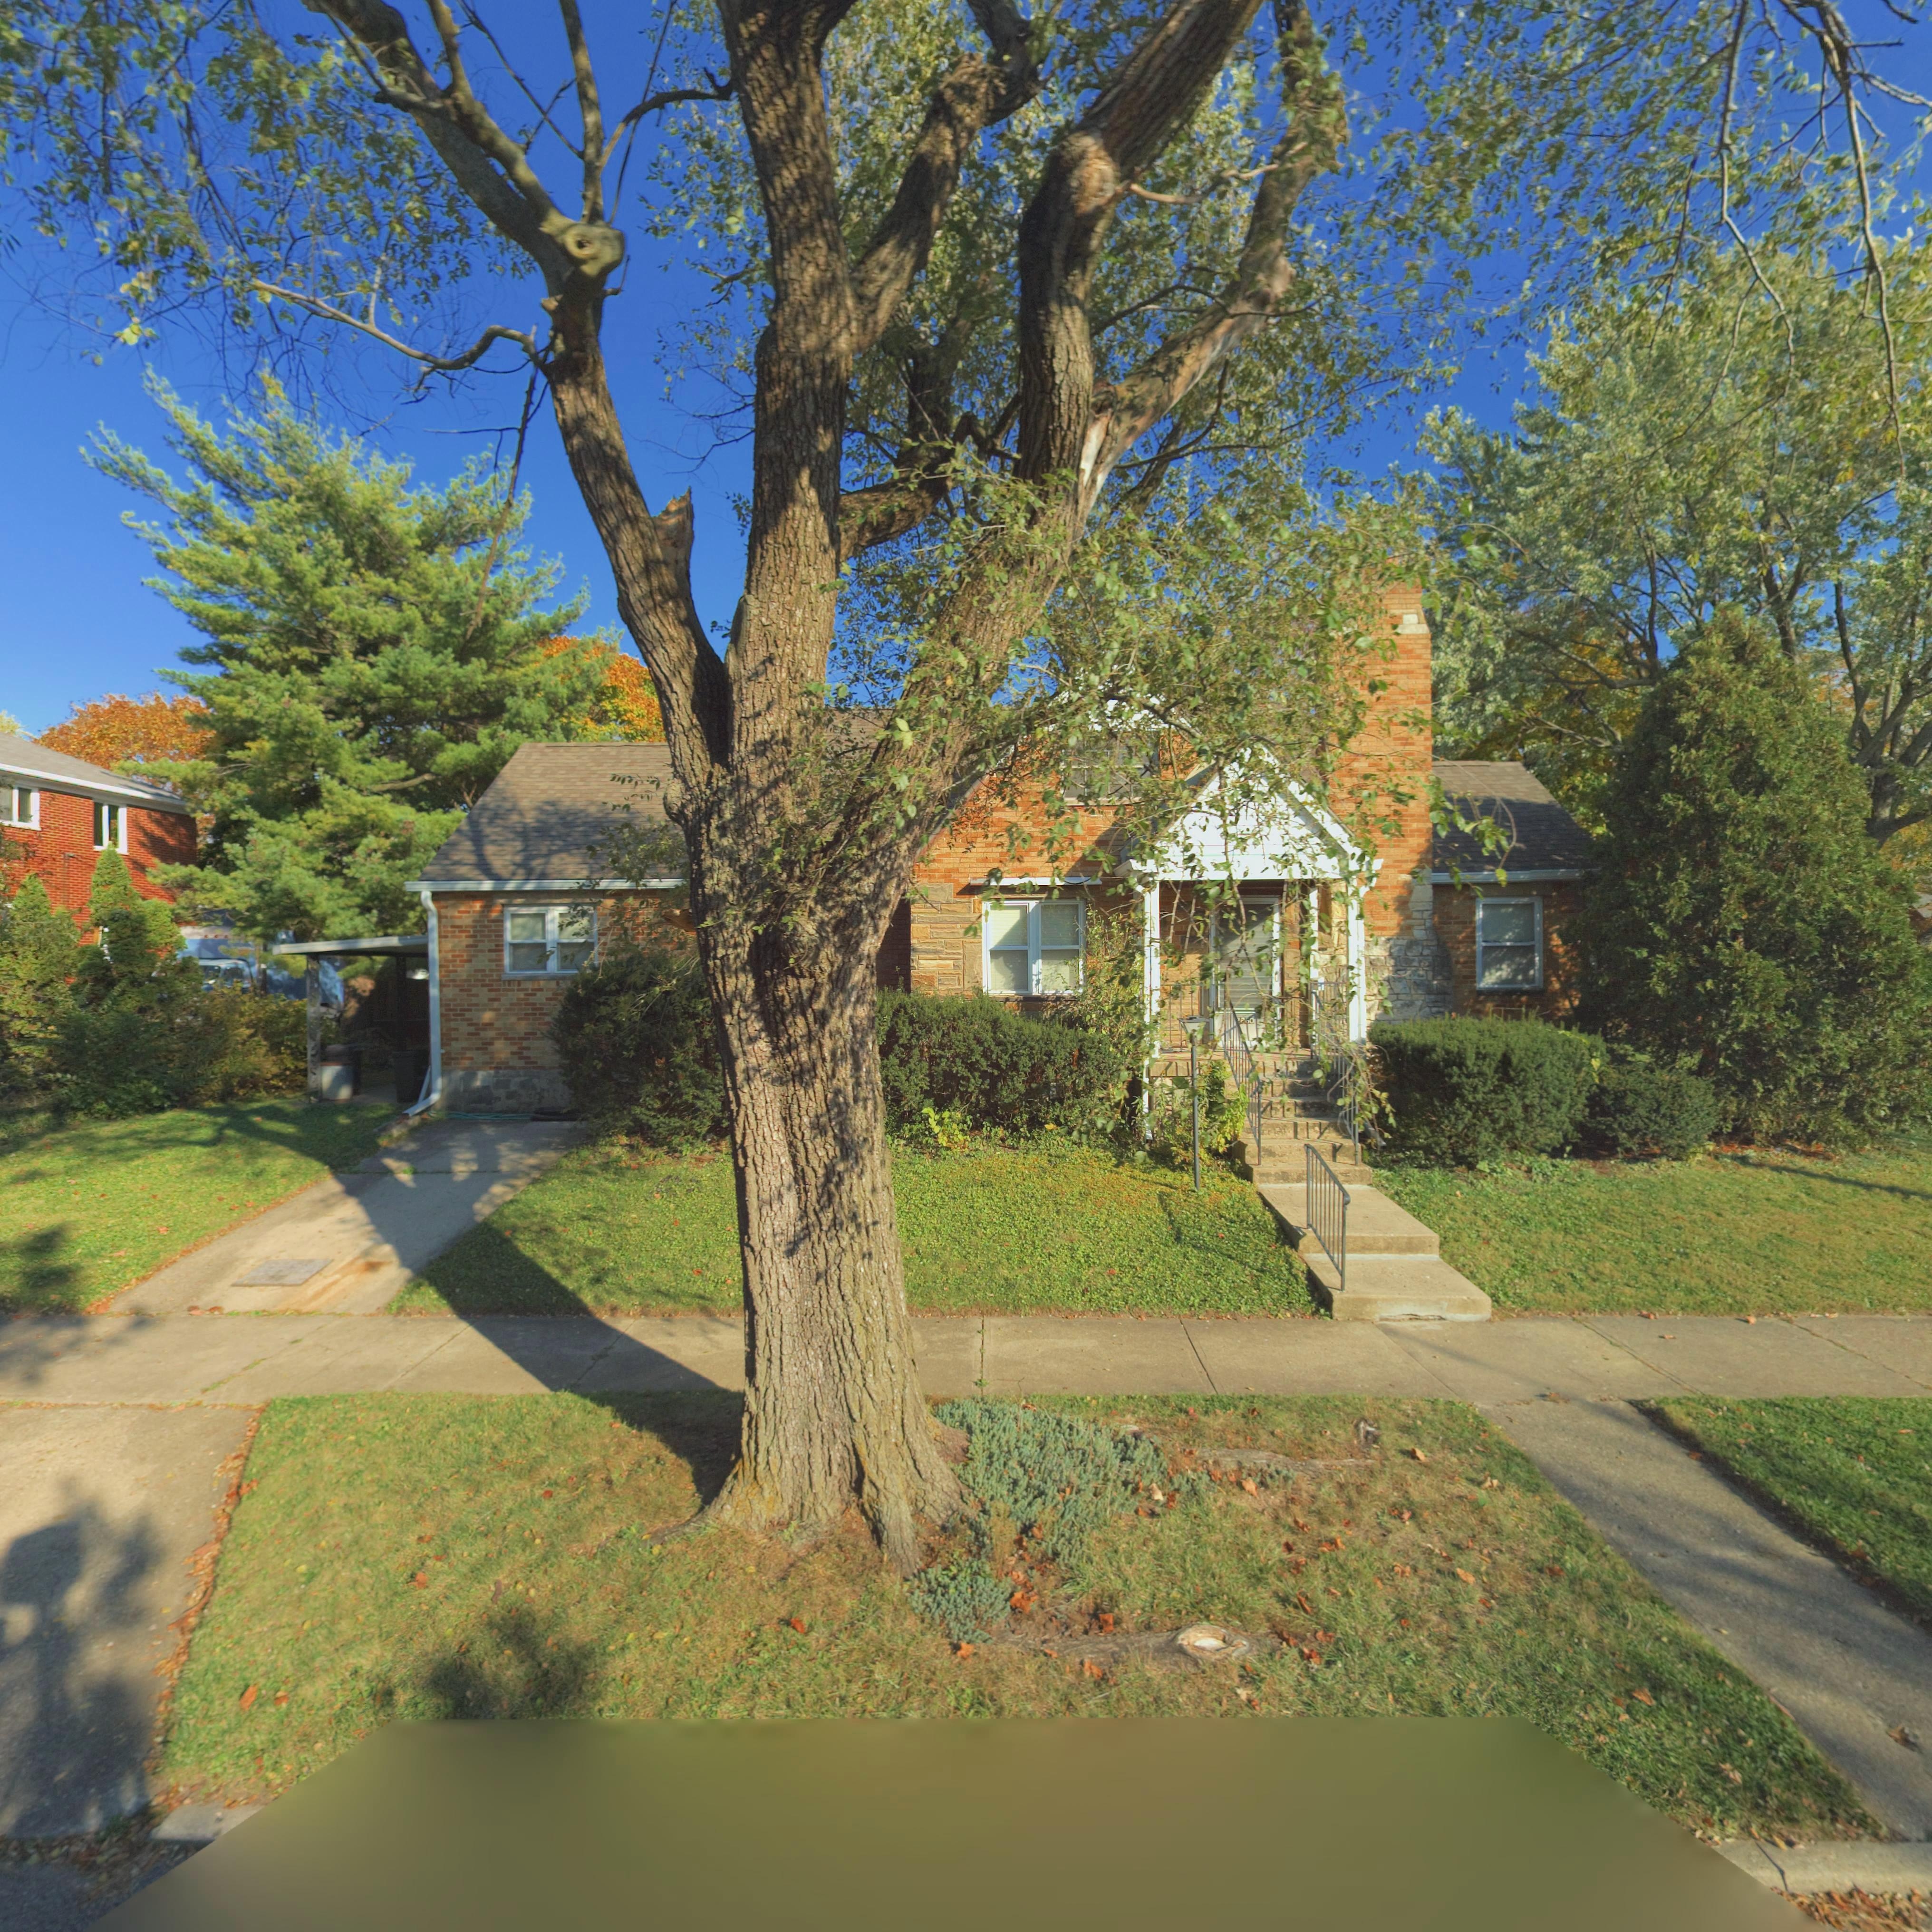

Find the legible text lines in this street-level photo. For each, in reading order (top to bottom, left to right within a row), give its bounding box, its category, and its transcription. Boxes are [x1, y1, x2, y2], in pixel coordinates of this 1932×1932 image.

[1238, 1016, 1255, 1025] StreetNumber: *60